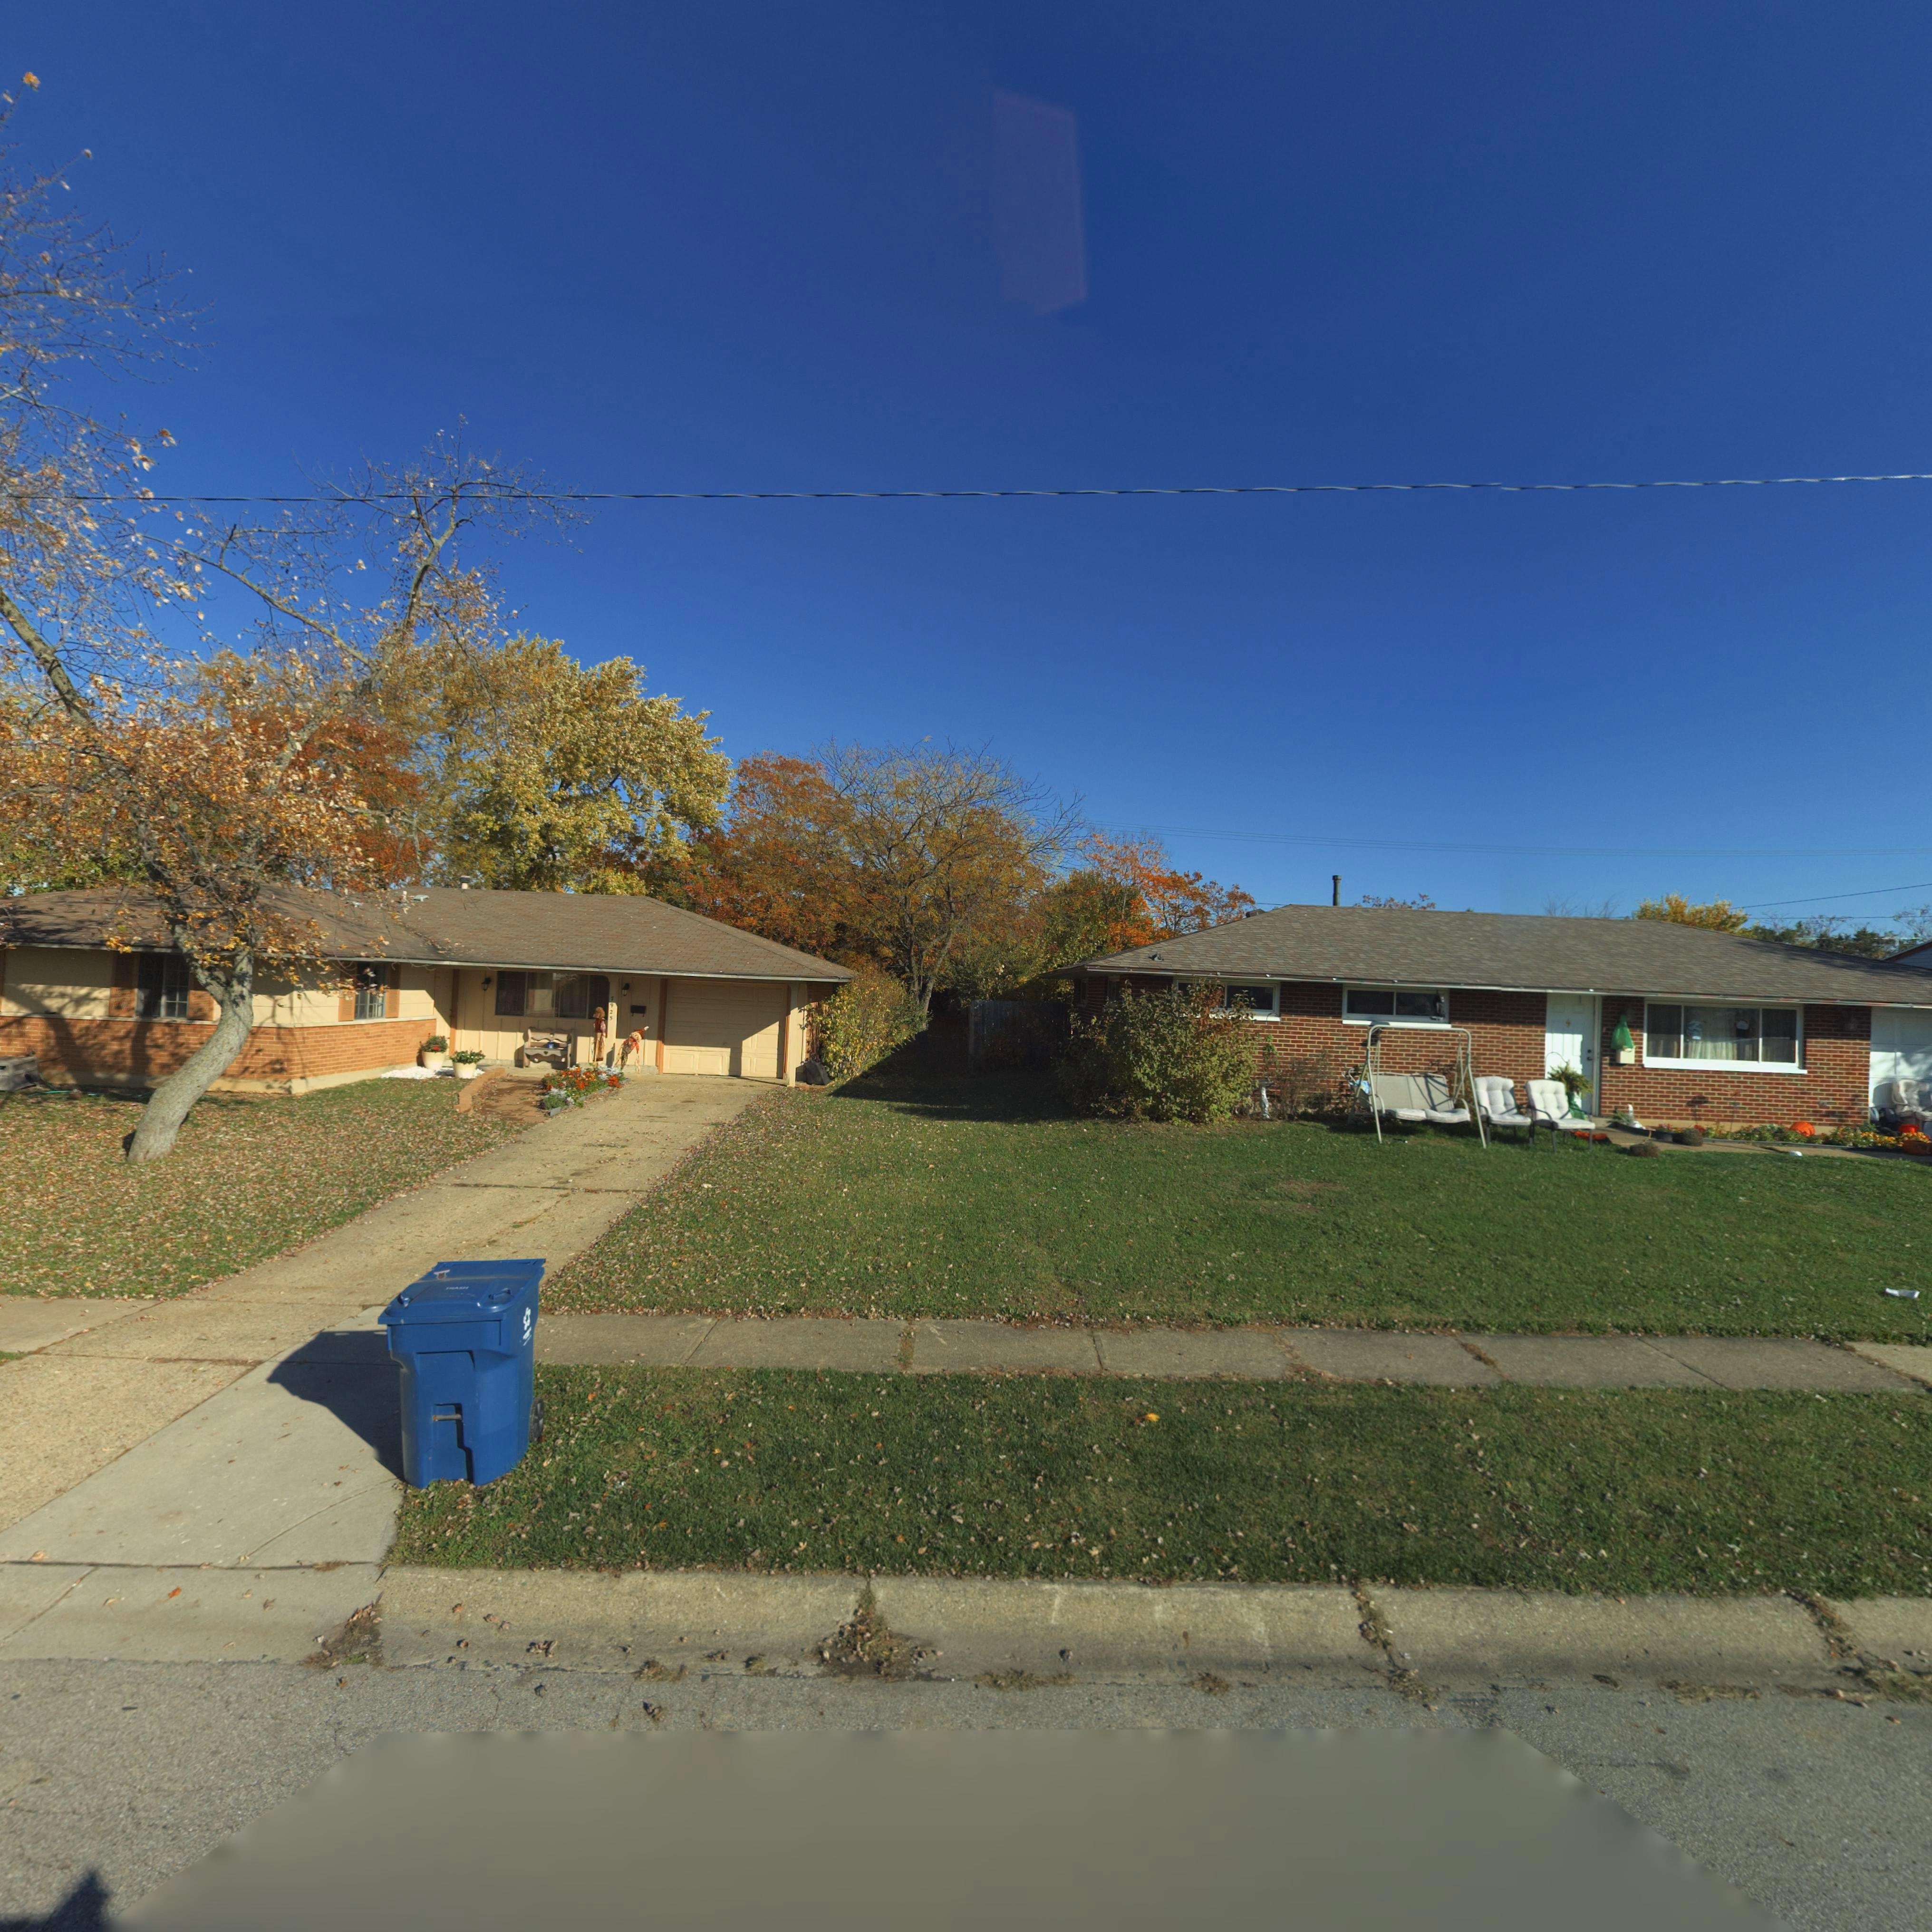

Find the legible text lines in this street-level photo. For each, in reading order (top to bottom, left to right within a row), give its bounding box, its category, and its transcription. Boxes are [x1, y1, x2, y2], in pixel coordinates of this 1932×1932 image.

[609, 995, 615, 1022] StreetNumber: 7925